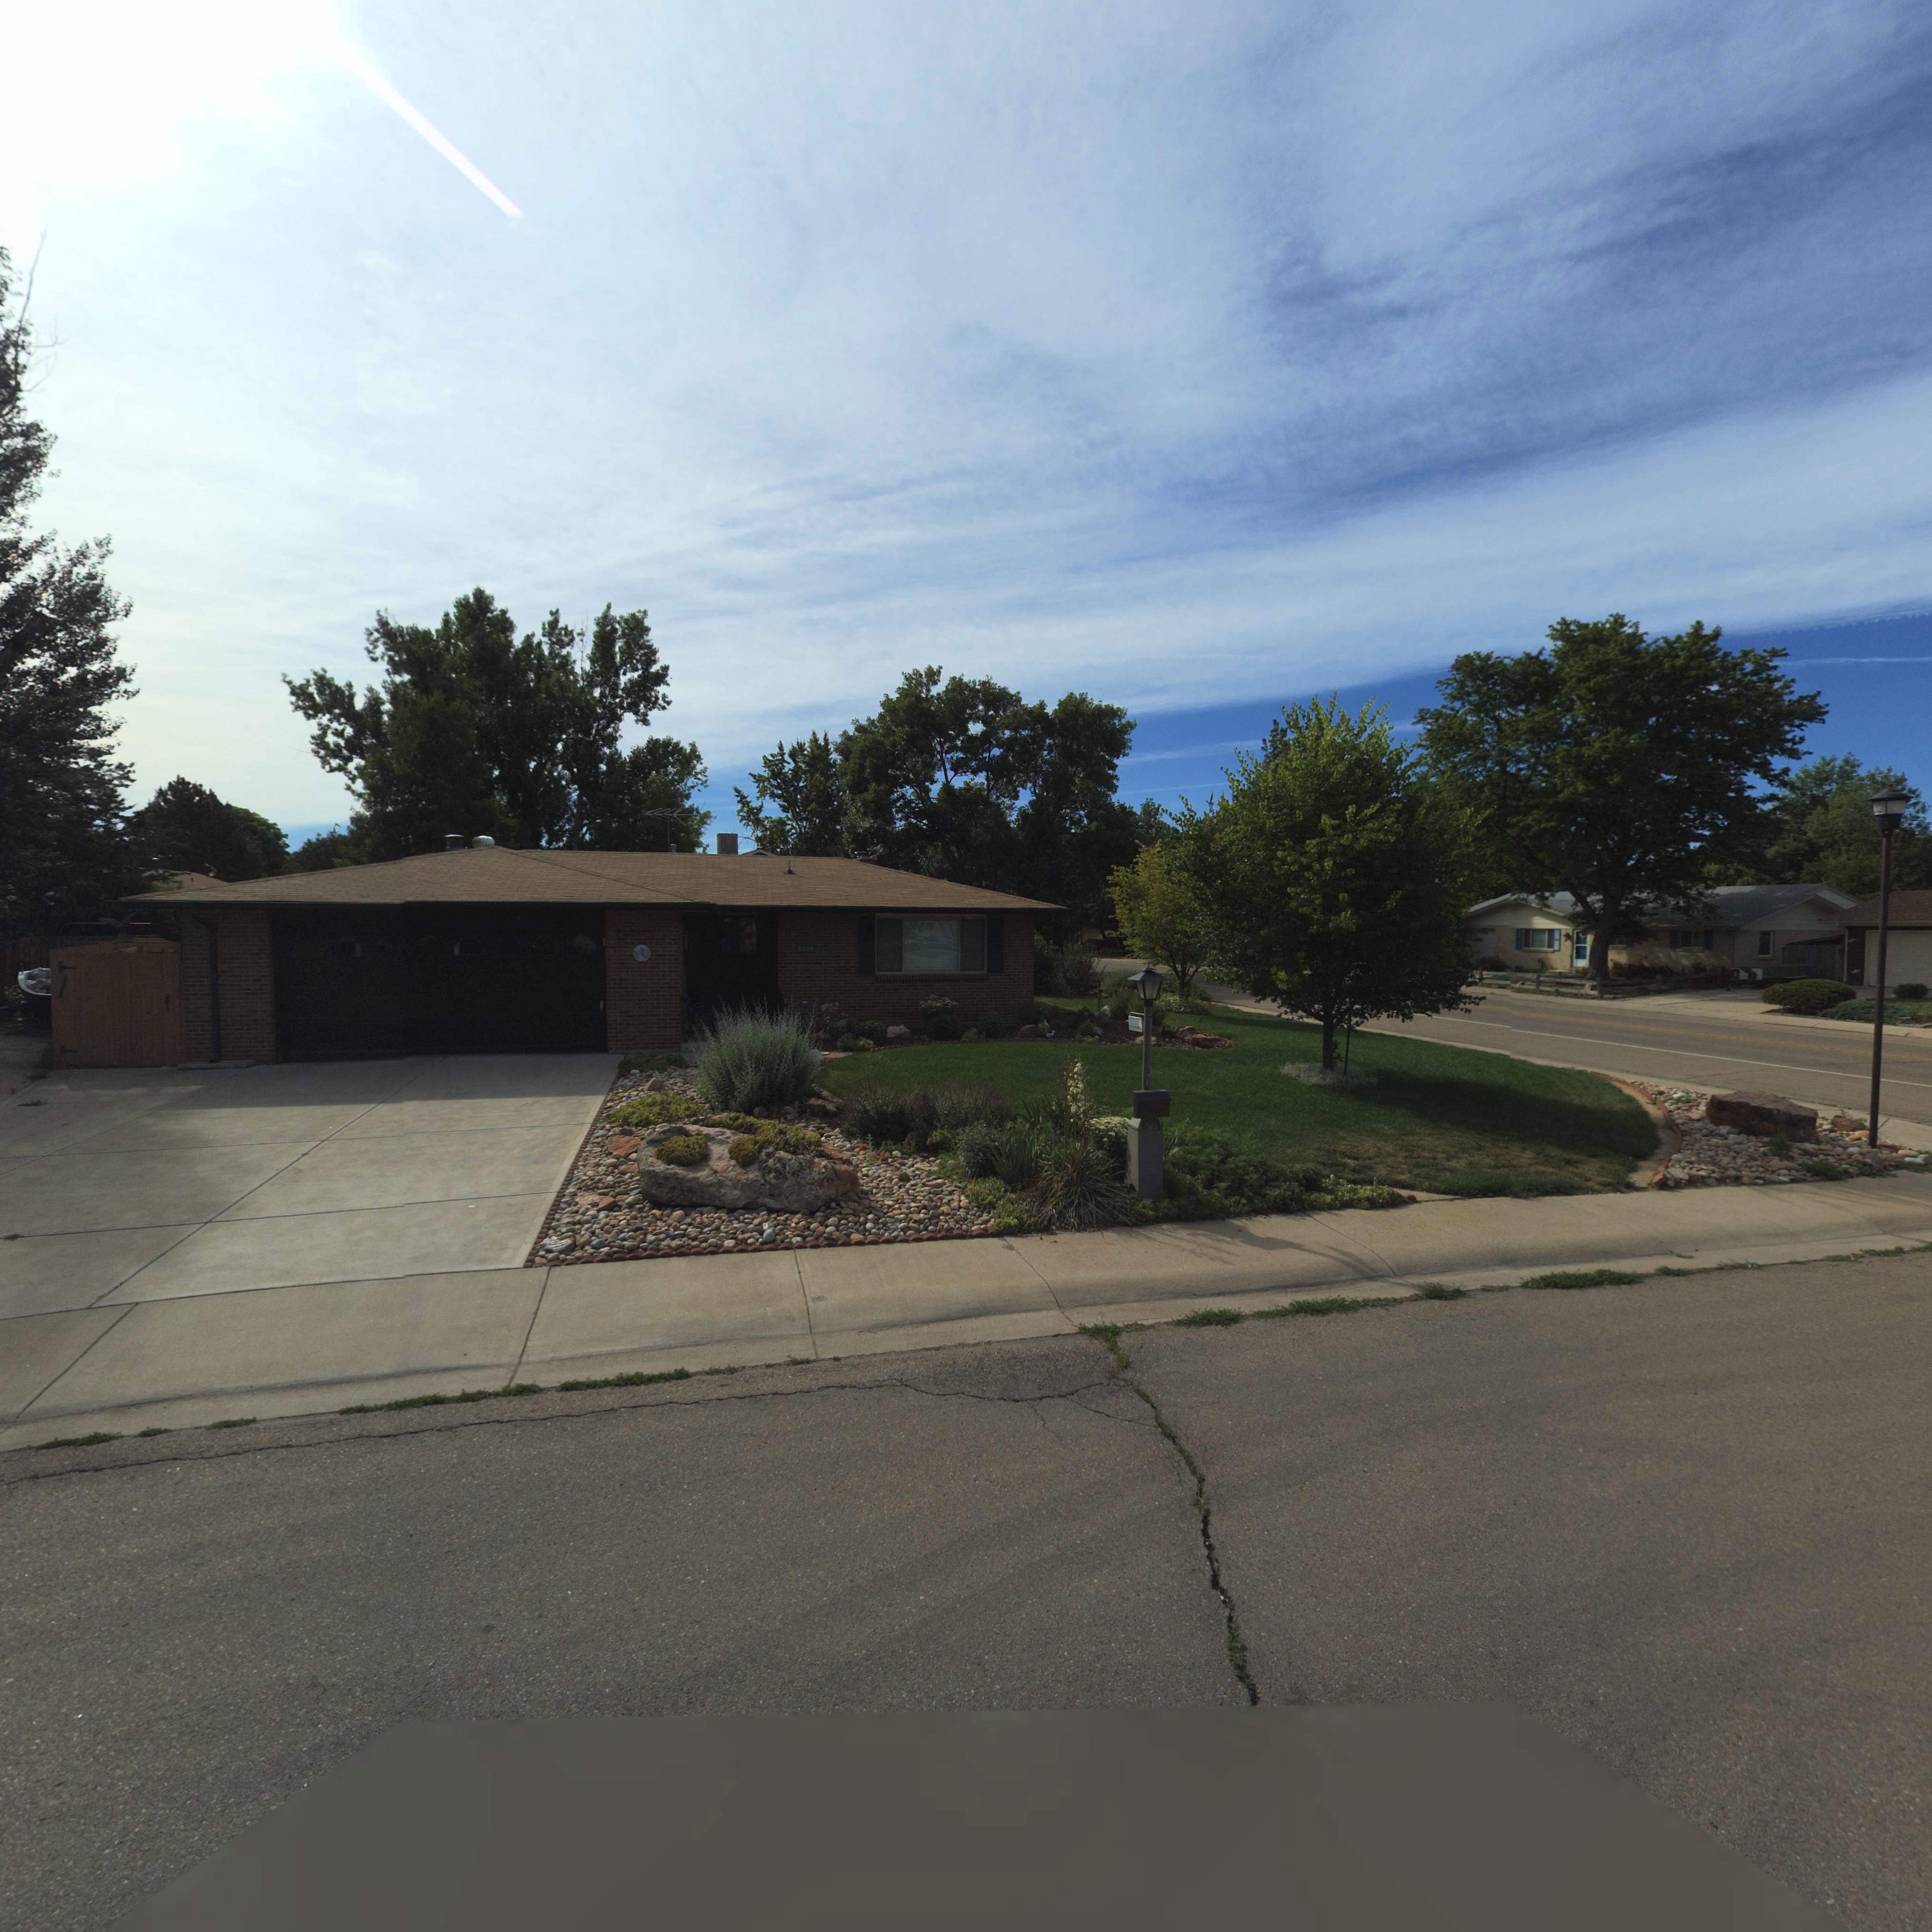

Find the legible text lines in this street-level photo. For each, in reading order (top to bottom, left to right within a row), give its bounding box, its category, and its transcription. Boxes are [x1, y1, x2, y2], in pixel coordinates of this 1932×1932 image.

[798, 946, 813, 951] StreetNumber: 100*